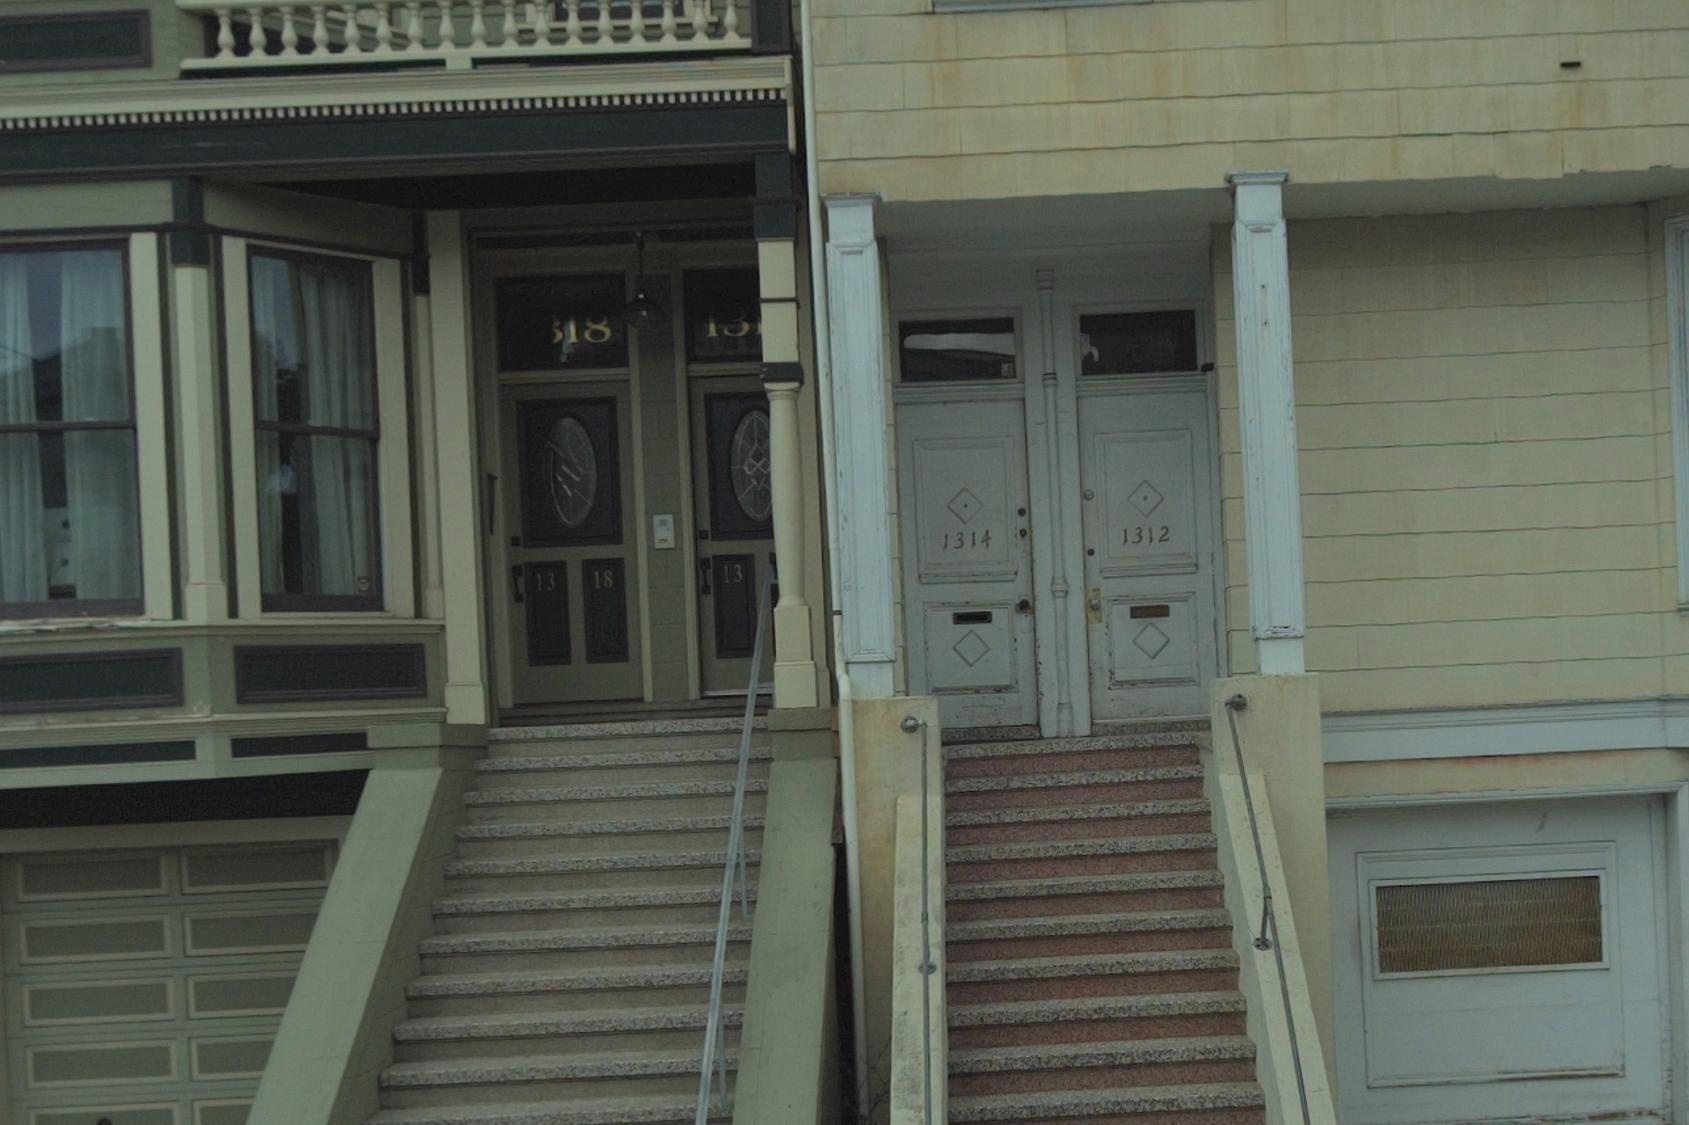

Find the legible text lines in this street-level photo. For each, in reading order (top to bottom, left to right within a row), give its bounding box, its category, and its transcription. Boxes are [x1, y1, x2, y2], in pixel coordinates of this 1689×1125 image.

[549, 310, 615, 347] StreetNumber: *18
[704, 302, 753, 338] StreetNumber: 13
[943, 527, 992, 550] StreetNumber: 1314
[1122, 524, 1172, 547] StreetNumber: 1312
[535, 568, 615, 592] StreetNumber: 13 18
[722, 563, 744, 584] StreetNumber: 13